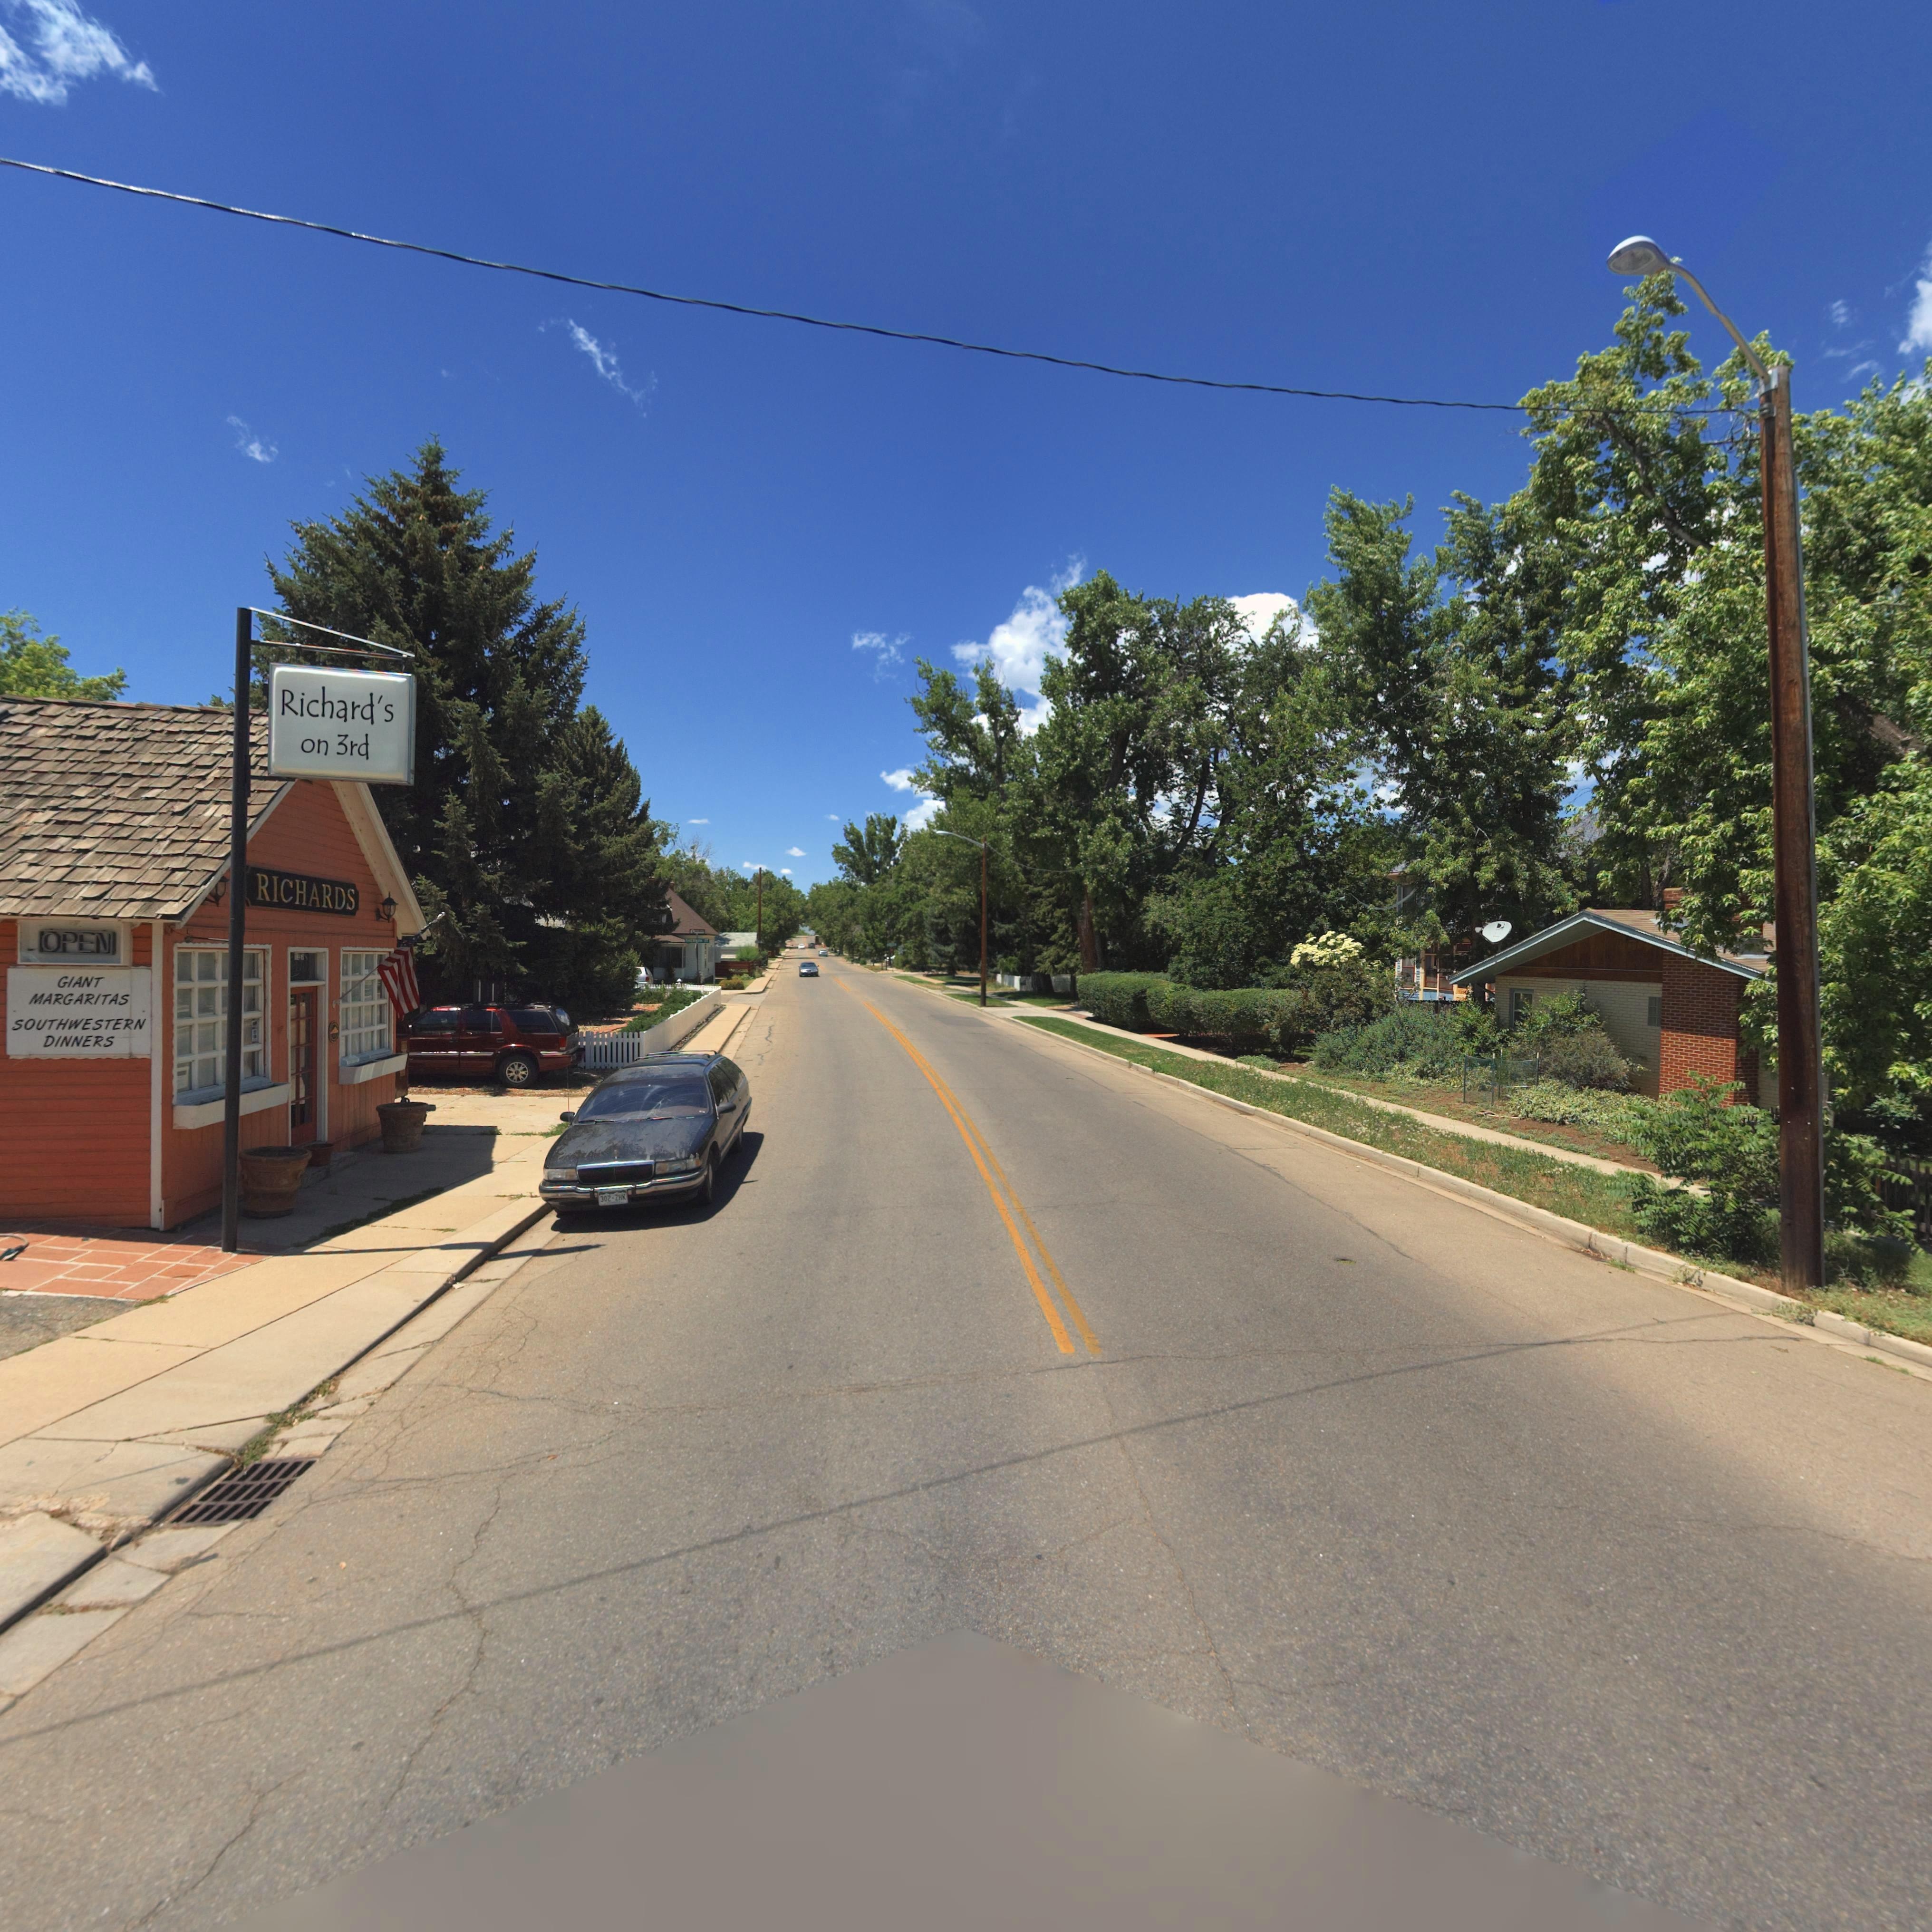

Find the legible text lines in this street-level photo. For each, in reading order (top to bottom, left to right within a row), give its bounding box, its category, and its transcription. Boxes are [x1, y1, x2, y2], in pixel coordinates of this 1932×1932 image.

[256, 872, 355, 910] BusinessName: RICHARDS
[686, 939, 708, 942] StreetName: SHERMAN ST
[294, 952, 308, 961] StreetNumber: 1*8*